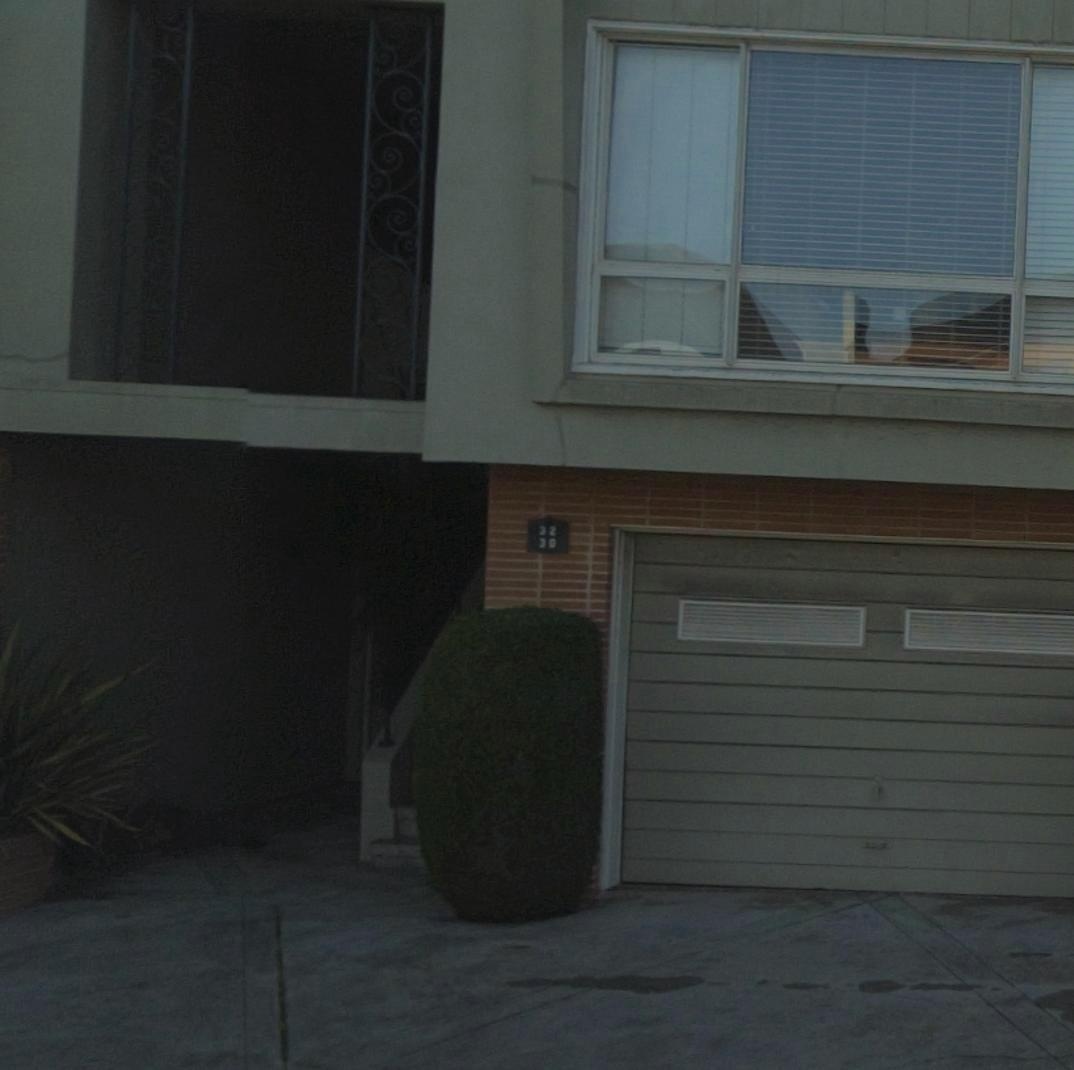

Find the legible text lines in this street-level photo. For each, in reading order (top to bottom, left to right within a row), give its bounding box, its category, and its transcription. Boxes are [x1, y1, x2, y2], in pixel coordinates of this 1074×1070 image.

[536, 523, 559, 538] StreetNumber: 32
[537, 535, 558, 551] None: 36